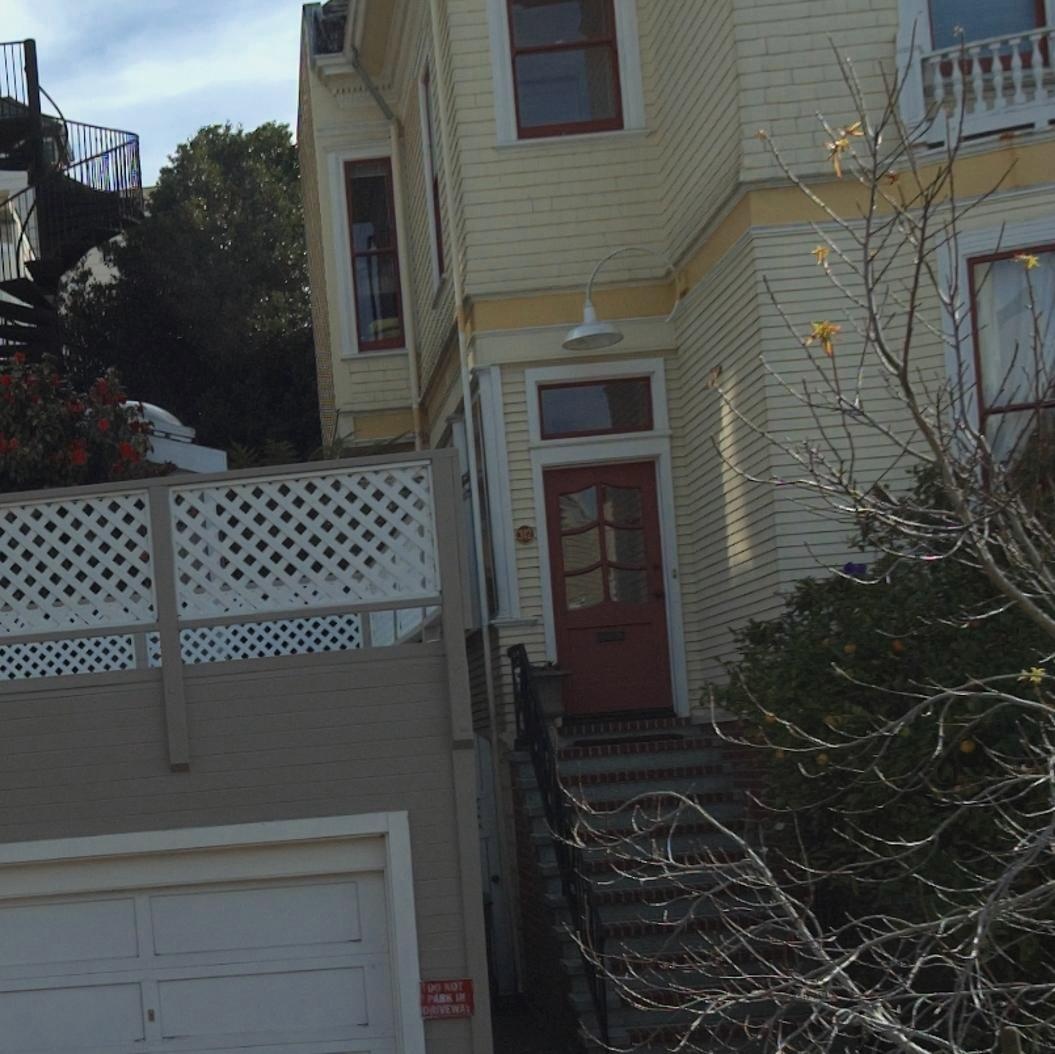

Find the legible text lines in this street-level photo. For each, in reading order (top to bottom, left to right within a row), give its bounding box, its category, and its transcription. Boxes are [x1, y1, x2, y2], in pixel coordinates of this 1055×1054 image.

[515, 527, 534, 542] StreetNumber: 312
[424, 978, 467, 996] None: DO NOT
[424, 989, 468, 1006] None: PARK IN
[420, 1000, 473, 1018] None: DRIVEWAY